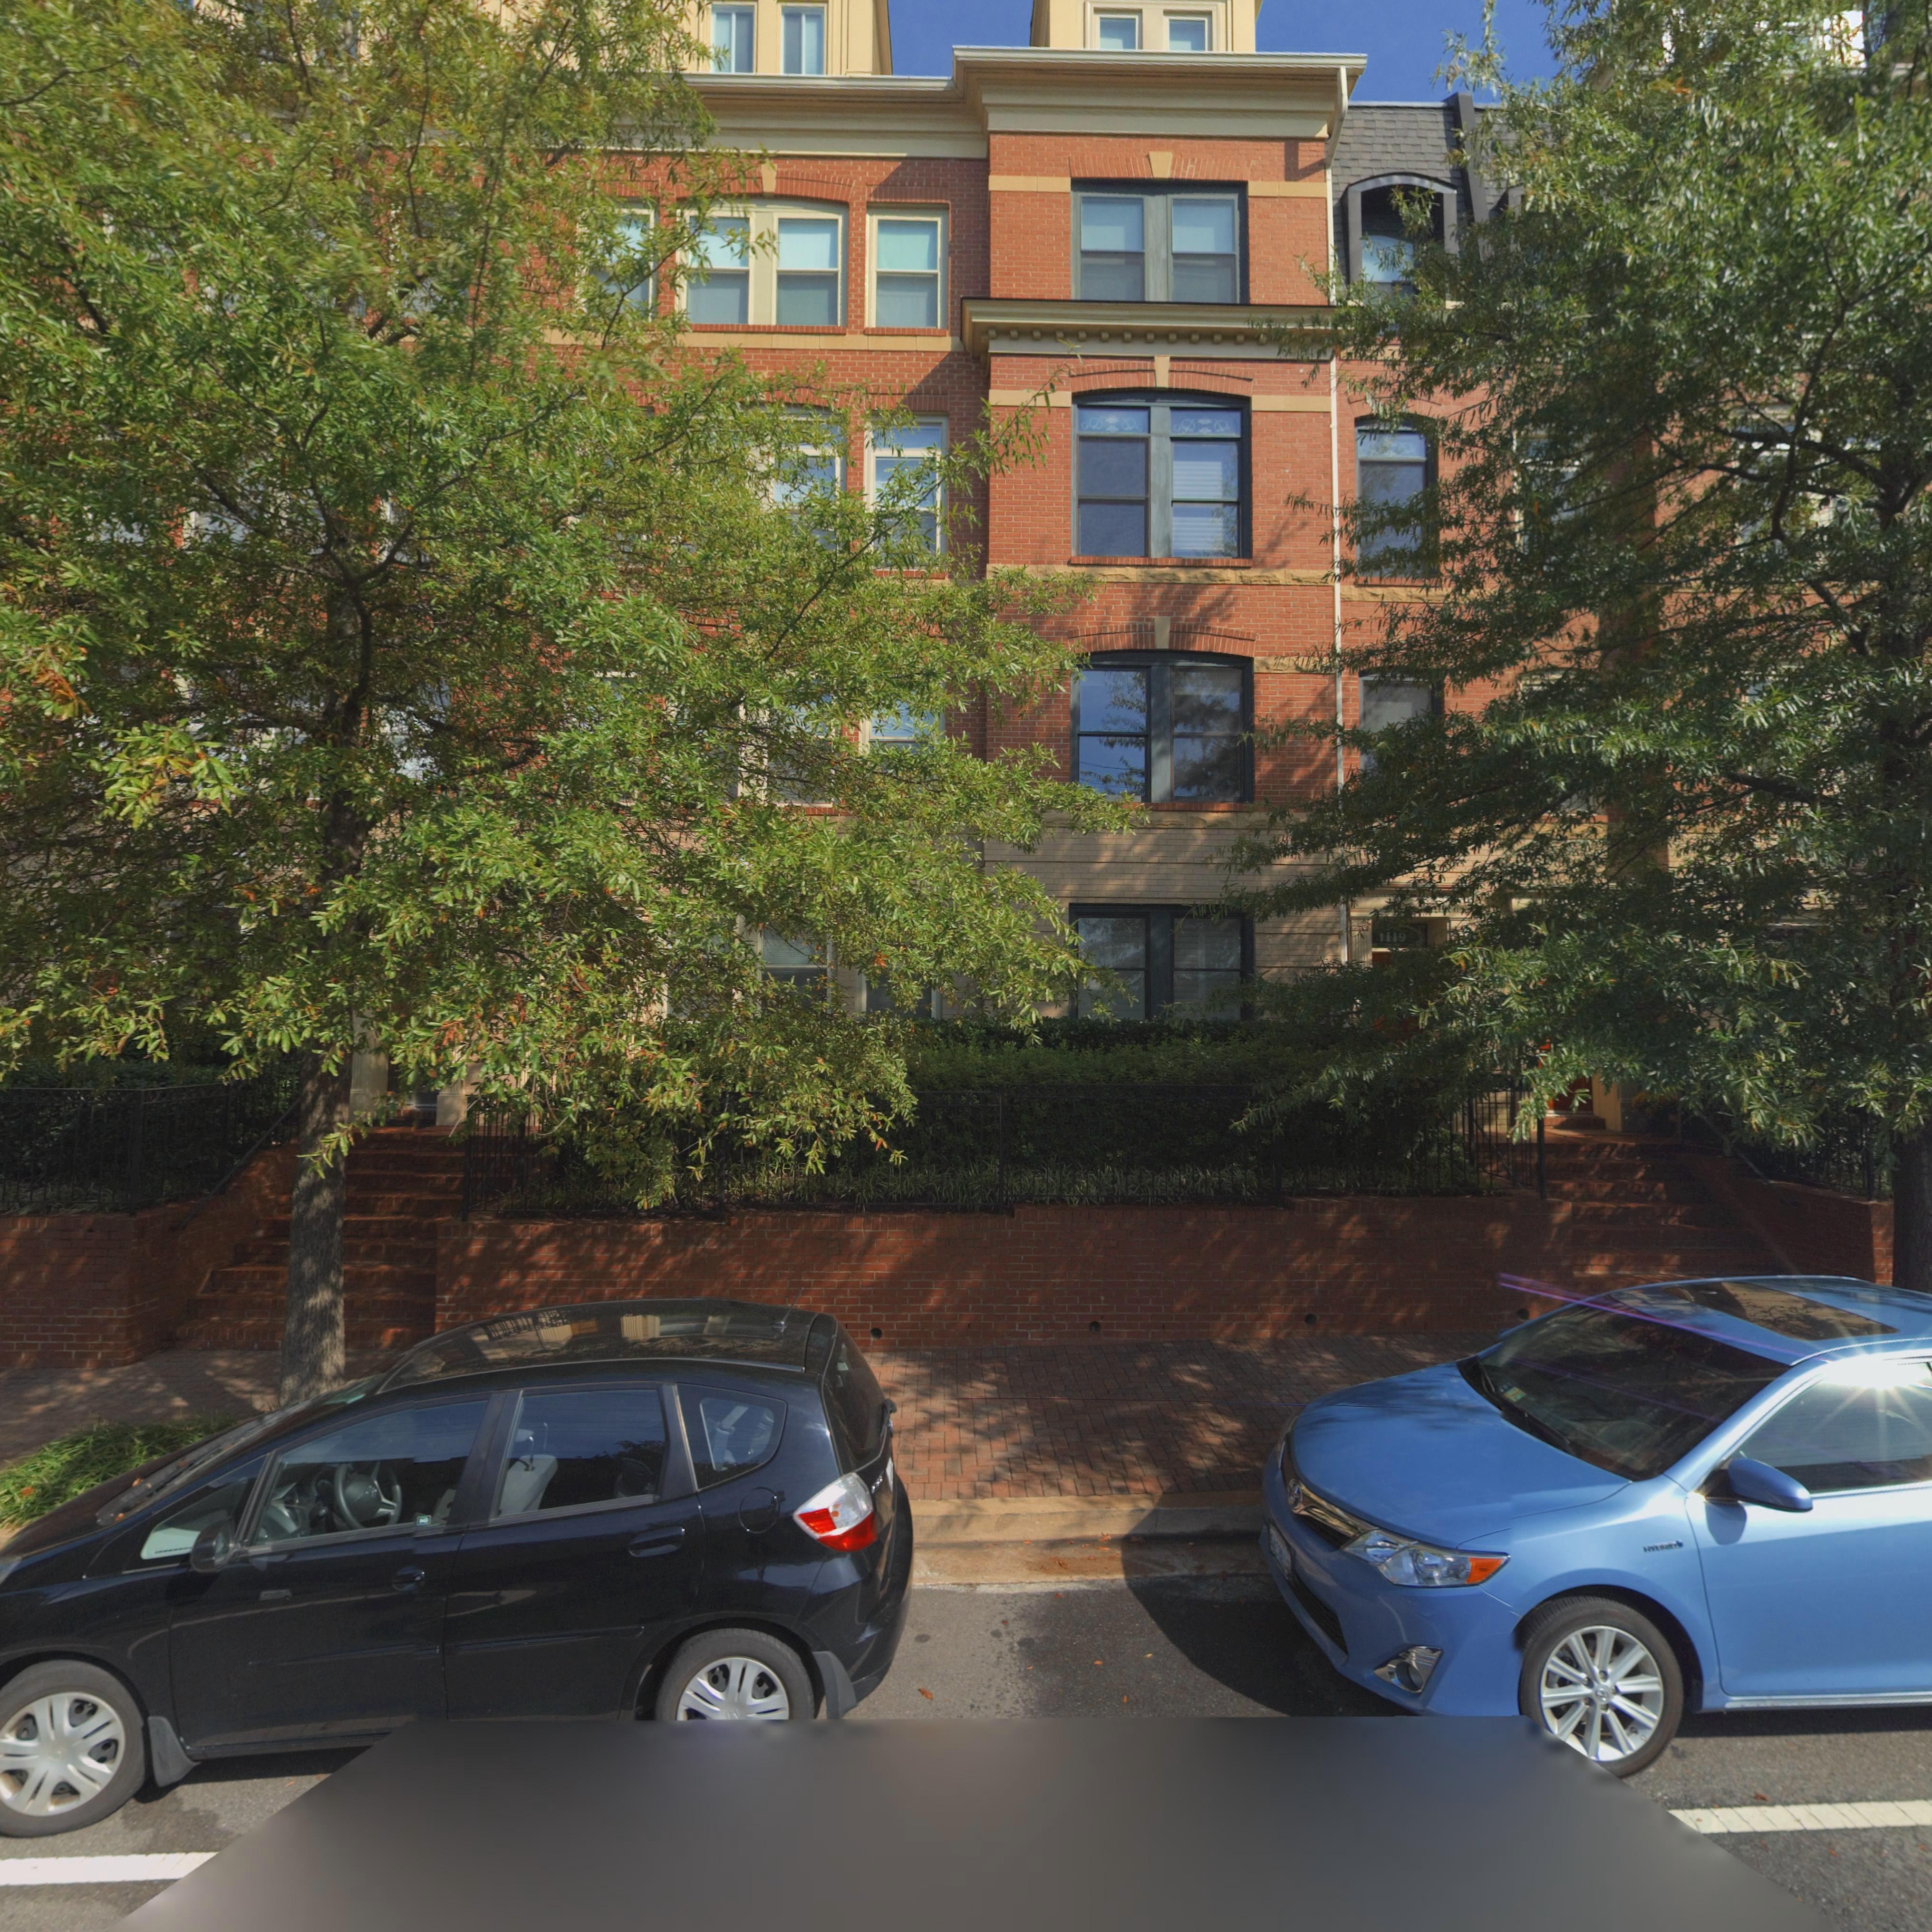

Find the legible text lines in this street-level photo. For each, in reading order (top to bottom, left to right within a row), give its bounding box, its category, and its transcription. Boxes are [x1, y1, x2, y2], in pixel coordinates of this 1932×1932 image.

[1378, 931, 1408, 943] StreetNumber: 1119
[1642, 1542, 1679, 1553] None: HY*RID